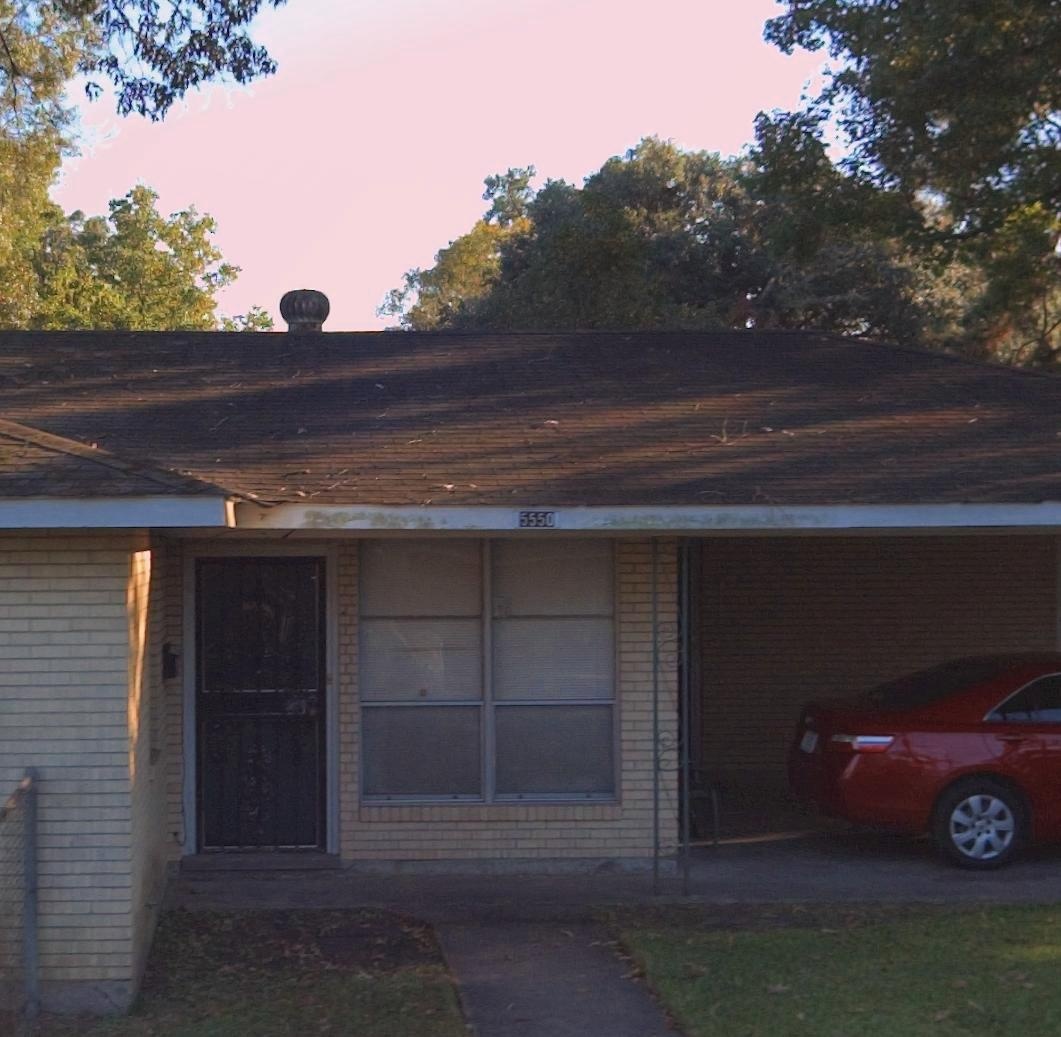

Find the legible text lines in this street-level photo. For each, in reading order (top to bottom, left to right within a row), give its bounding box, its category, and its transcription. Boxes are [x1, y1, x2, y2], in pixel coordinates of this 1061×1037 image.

[519, 512, 556, 527] StreetNumber: 5550